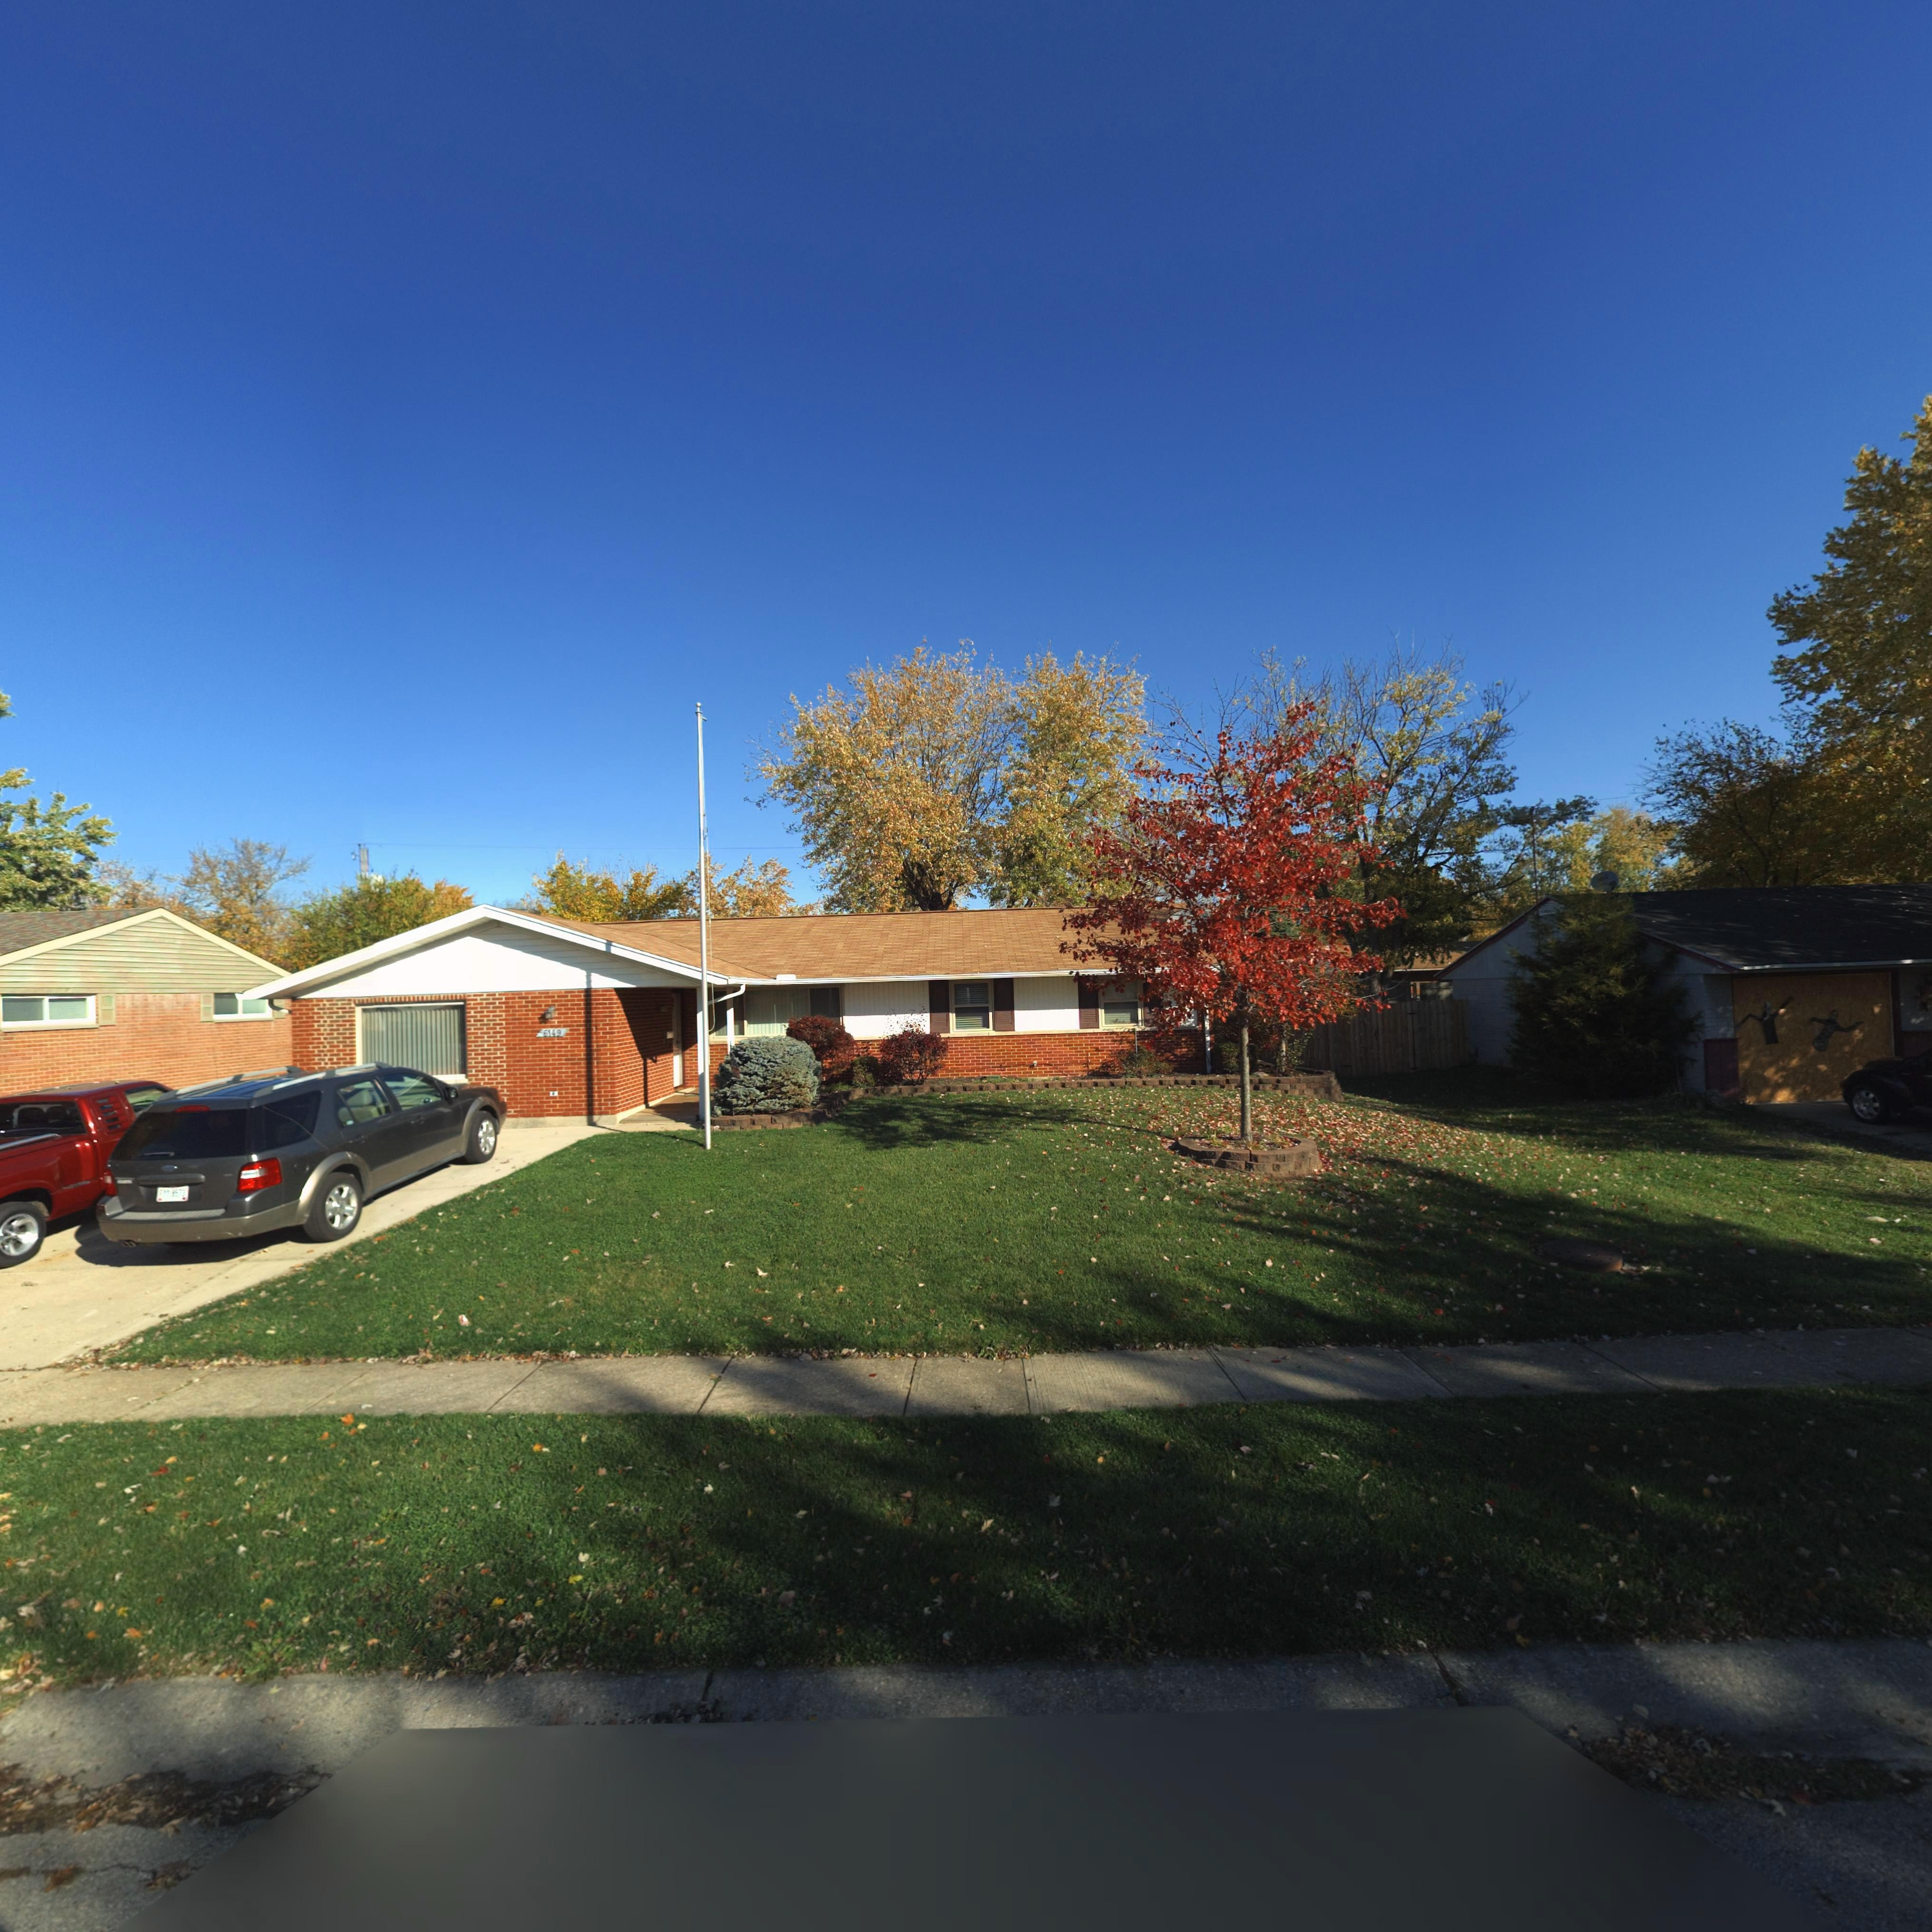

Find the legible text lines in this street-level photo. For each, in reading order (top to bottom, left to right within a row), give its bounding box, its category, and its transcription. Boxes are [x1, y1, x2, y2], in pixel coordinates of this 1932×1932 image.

[542, 1029, 561, 1037] StreetNumber: 6149